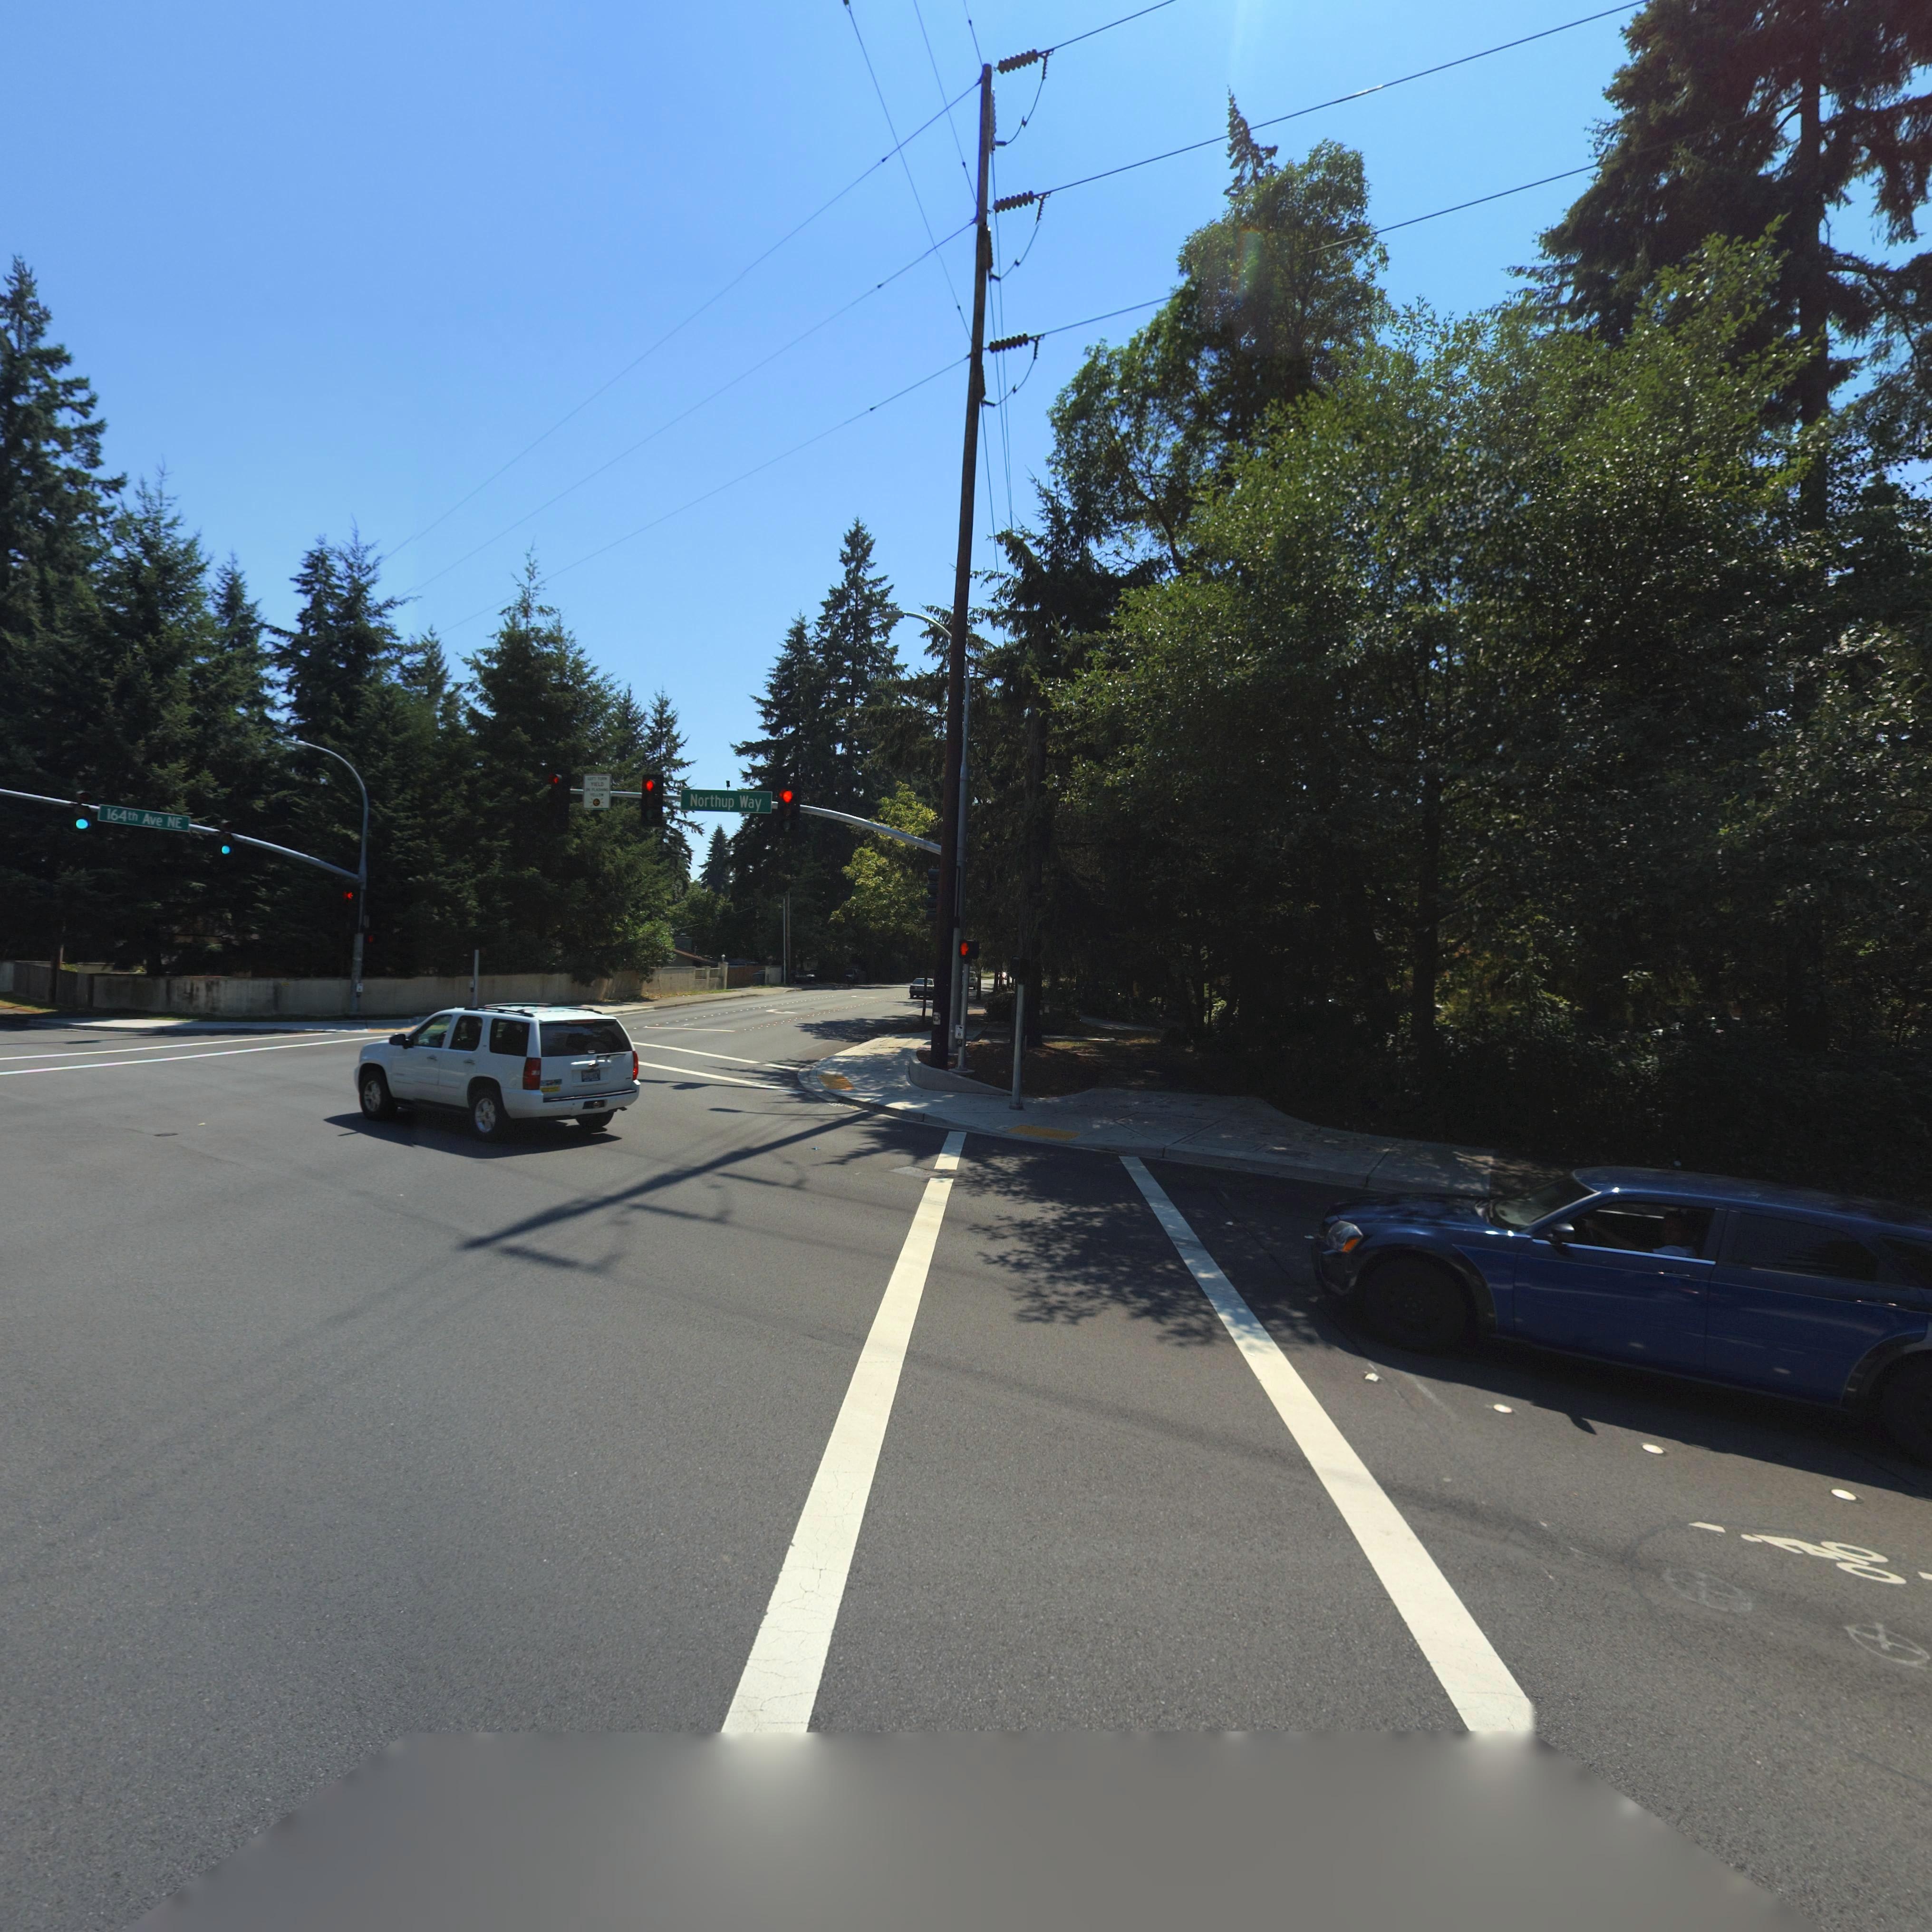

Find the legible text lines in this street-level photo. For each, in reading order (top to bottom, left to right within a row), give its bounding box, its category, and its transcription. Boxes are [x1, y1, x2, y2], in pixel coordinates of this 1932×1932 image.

[689, 792, 764, 814] StreetName: Northup Way
[106, 806, 183, 829] StreetName: 164th Ave NE